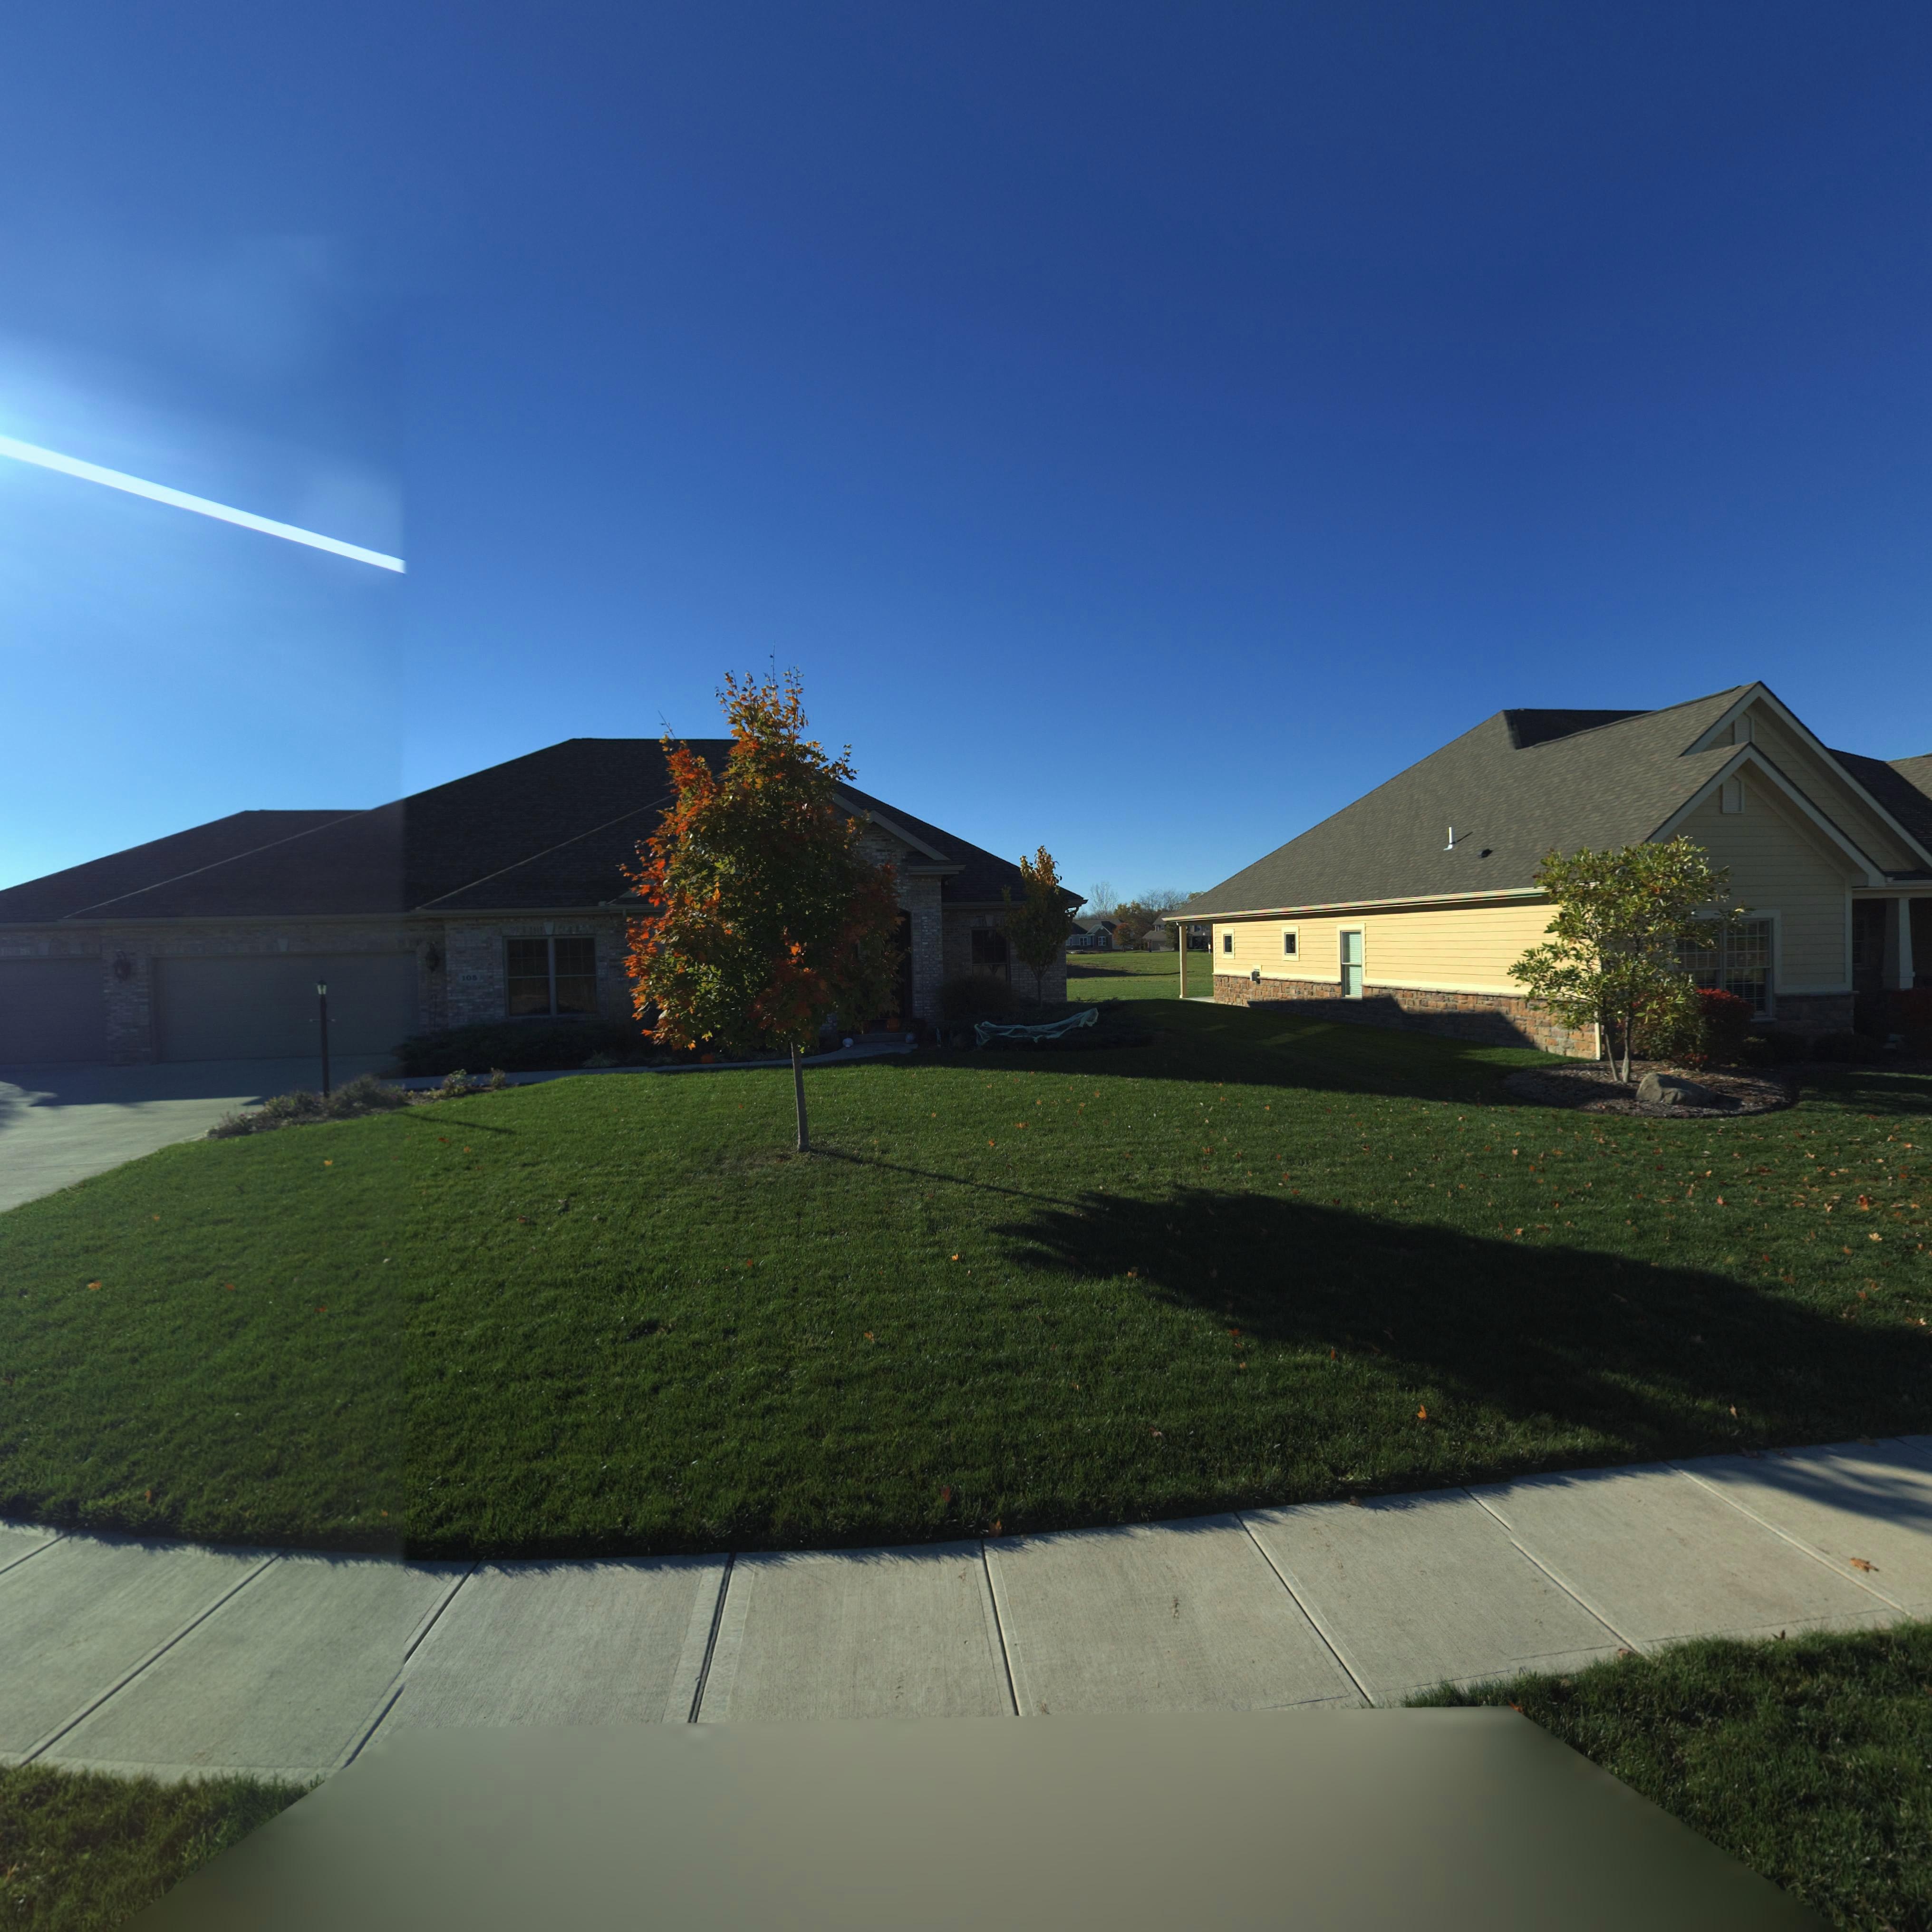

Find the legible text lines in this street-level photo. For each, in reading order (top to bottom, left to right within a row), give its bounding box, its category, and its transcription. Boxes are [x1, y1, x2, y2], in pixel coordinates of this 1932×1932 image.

[461, 974, 479, 982] StreetNumber: 105